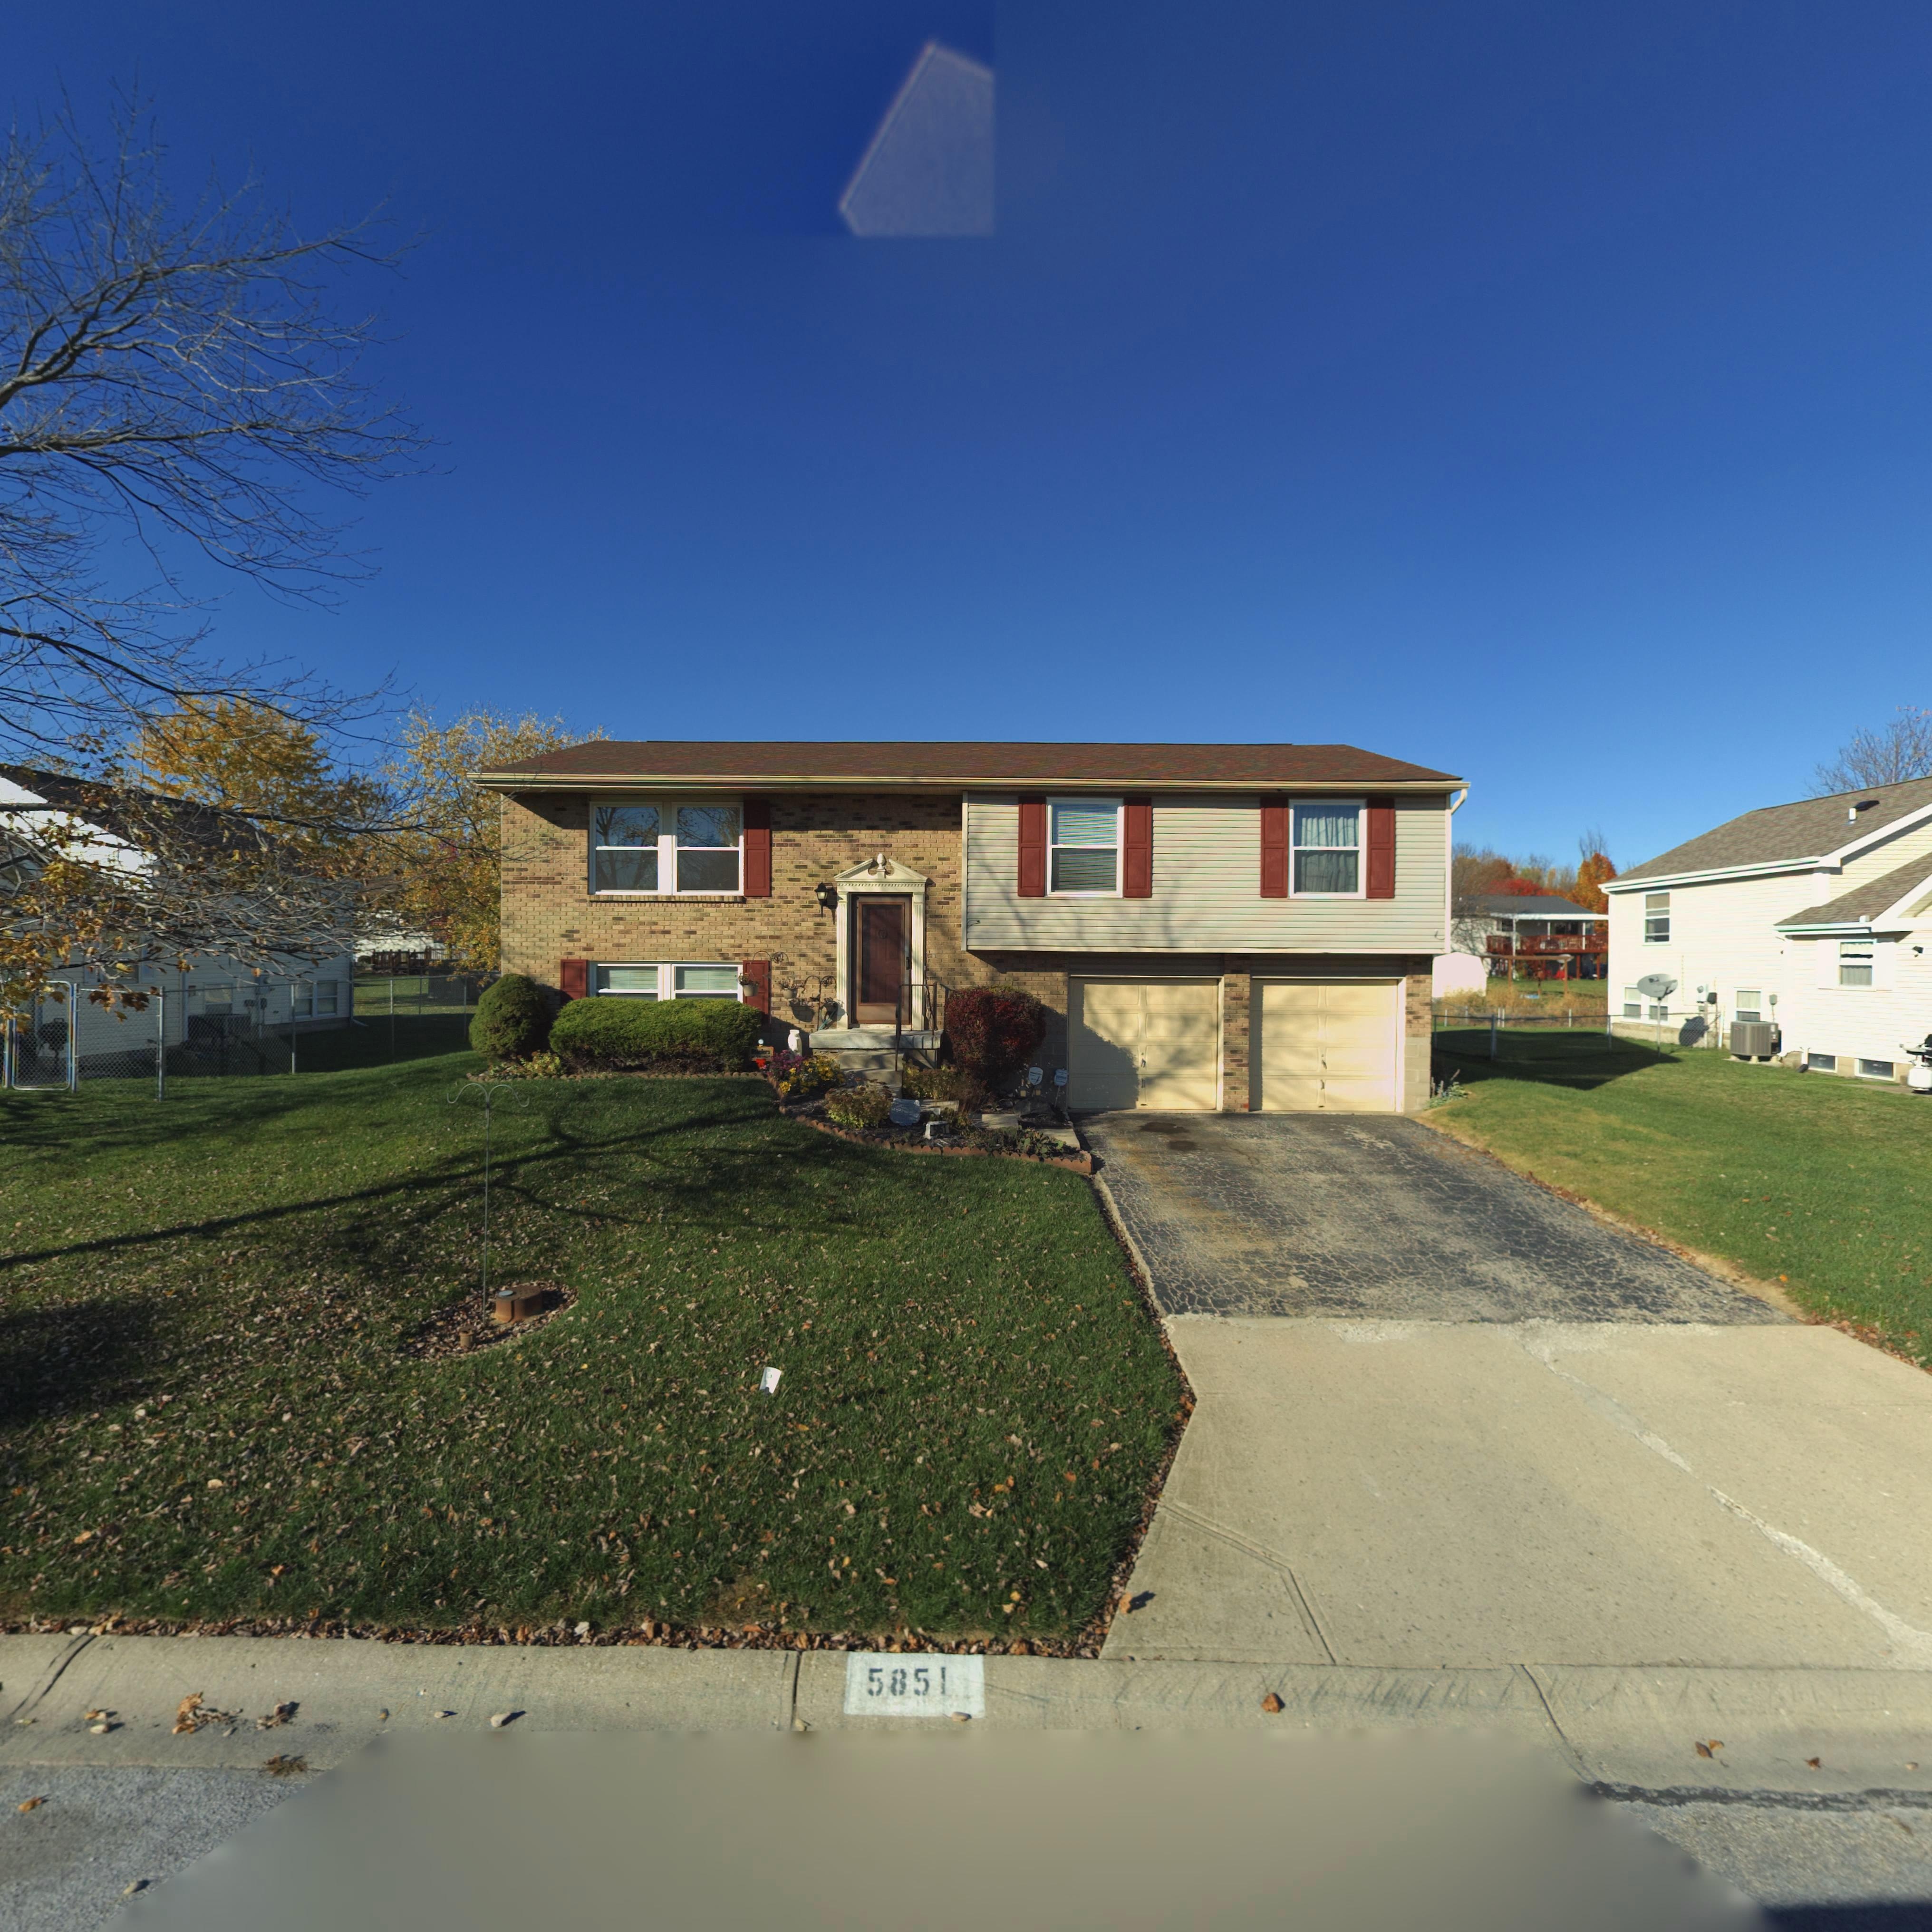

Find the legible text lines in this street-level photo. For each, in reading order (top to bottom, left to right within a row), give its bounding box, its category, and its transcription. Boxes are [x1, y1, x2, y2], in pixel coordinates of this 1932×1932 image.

[932, 1124, 947, 1136] StreetNumber: 5**1
[864, 1663, 949, 1700] StreetNumber: 5851